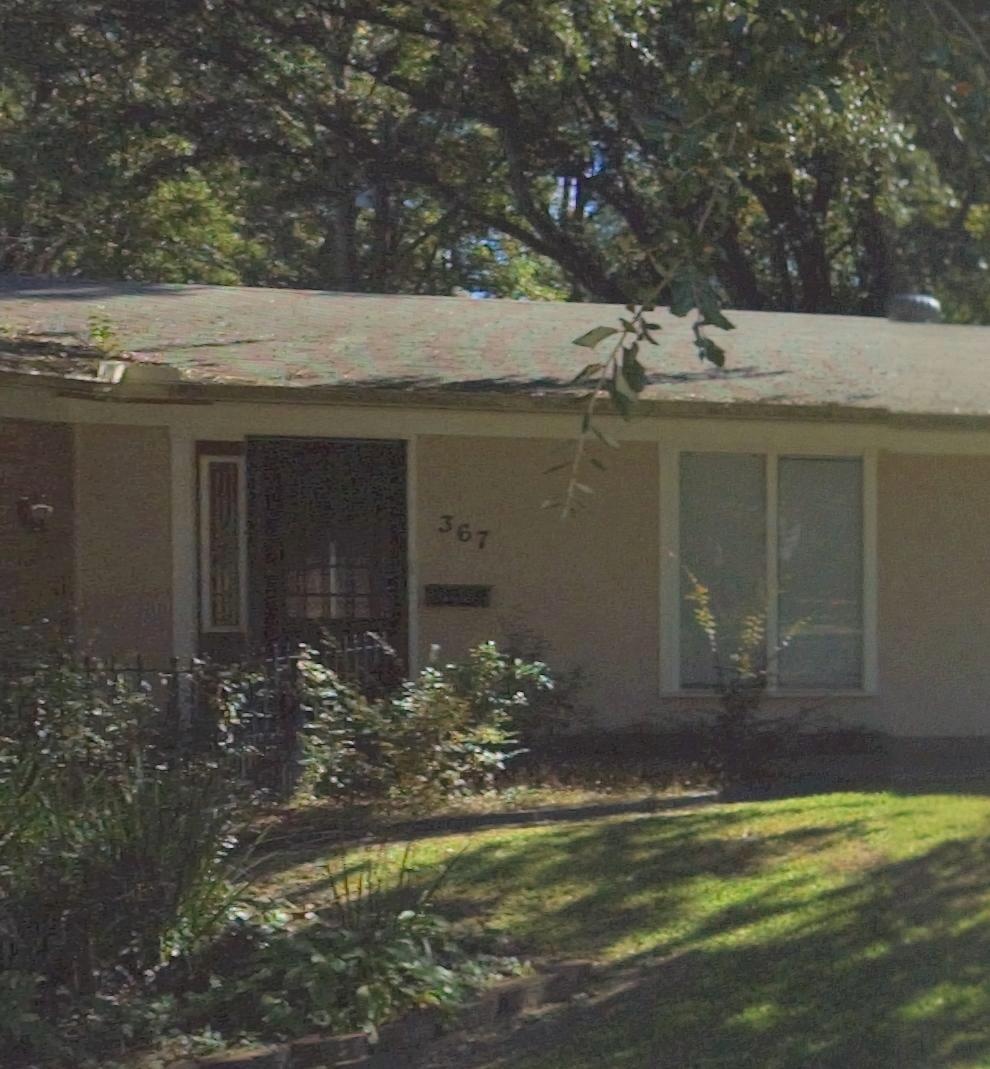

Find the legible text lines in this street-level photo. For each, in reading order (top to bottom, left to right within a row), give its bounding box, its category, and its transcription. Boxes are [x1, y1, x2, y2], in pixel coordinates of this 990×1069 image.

[436, 512, 491, 551] StreetNumber: 367